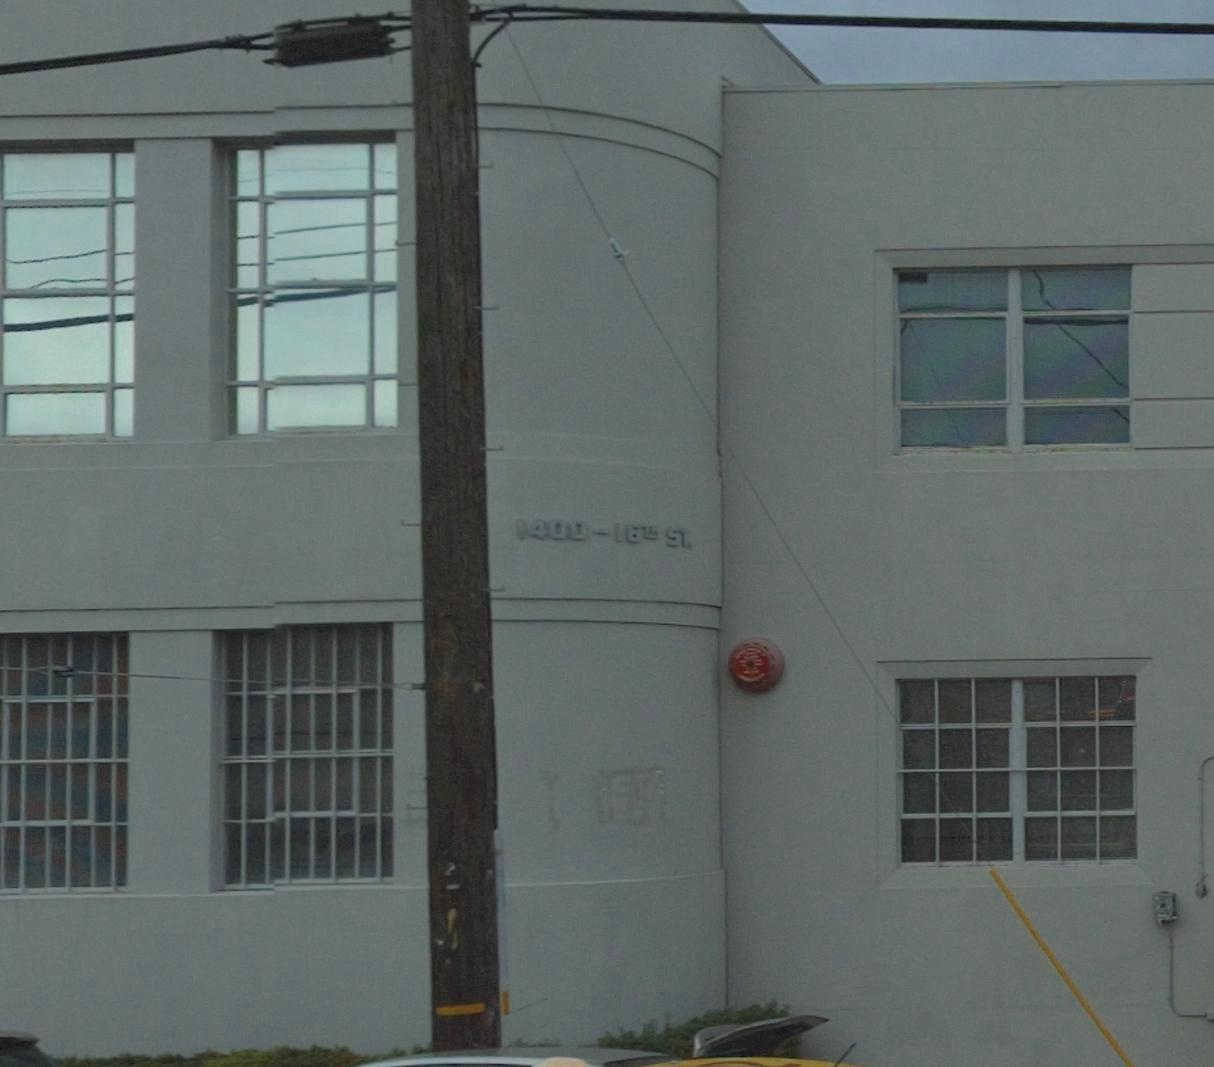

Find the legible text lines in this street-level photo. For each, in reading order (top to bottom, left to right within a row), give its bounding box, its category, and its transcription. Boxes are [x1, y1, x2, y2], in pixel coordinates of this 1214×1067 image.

[517, 517, 588, 542] StreetNumber: 1400
[614, 520, 693, 550] StreetName: 16TH ST.